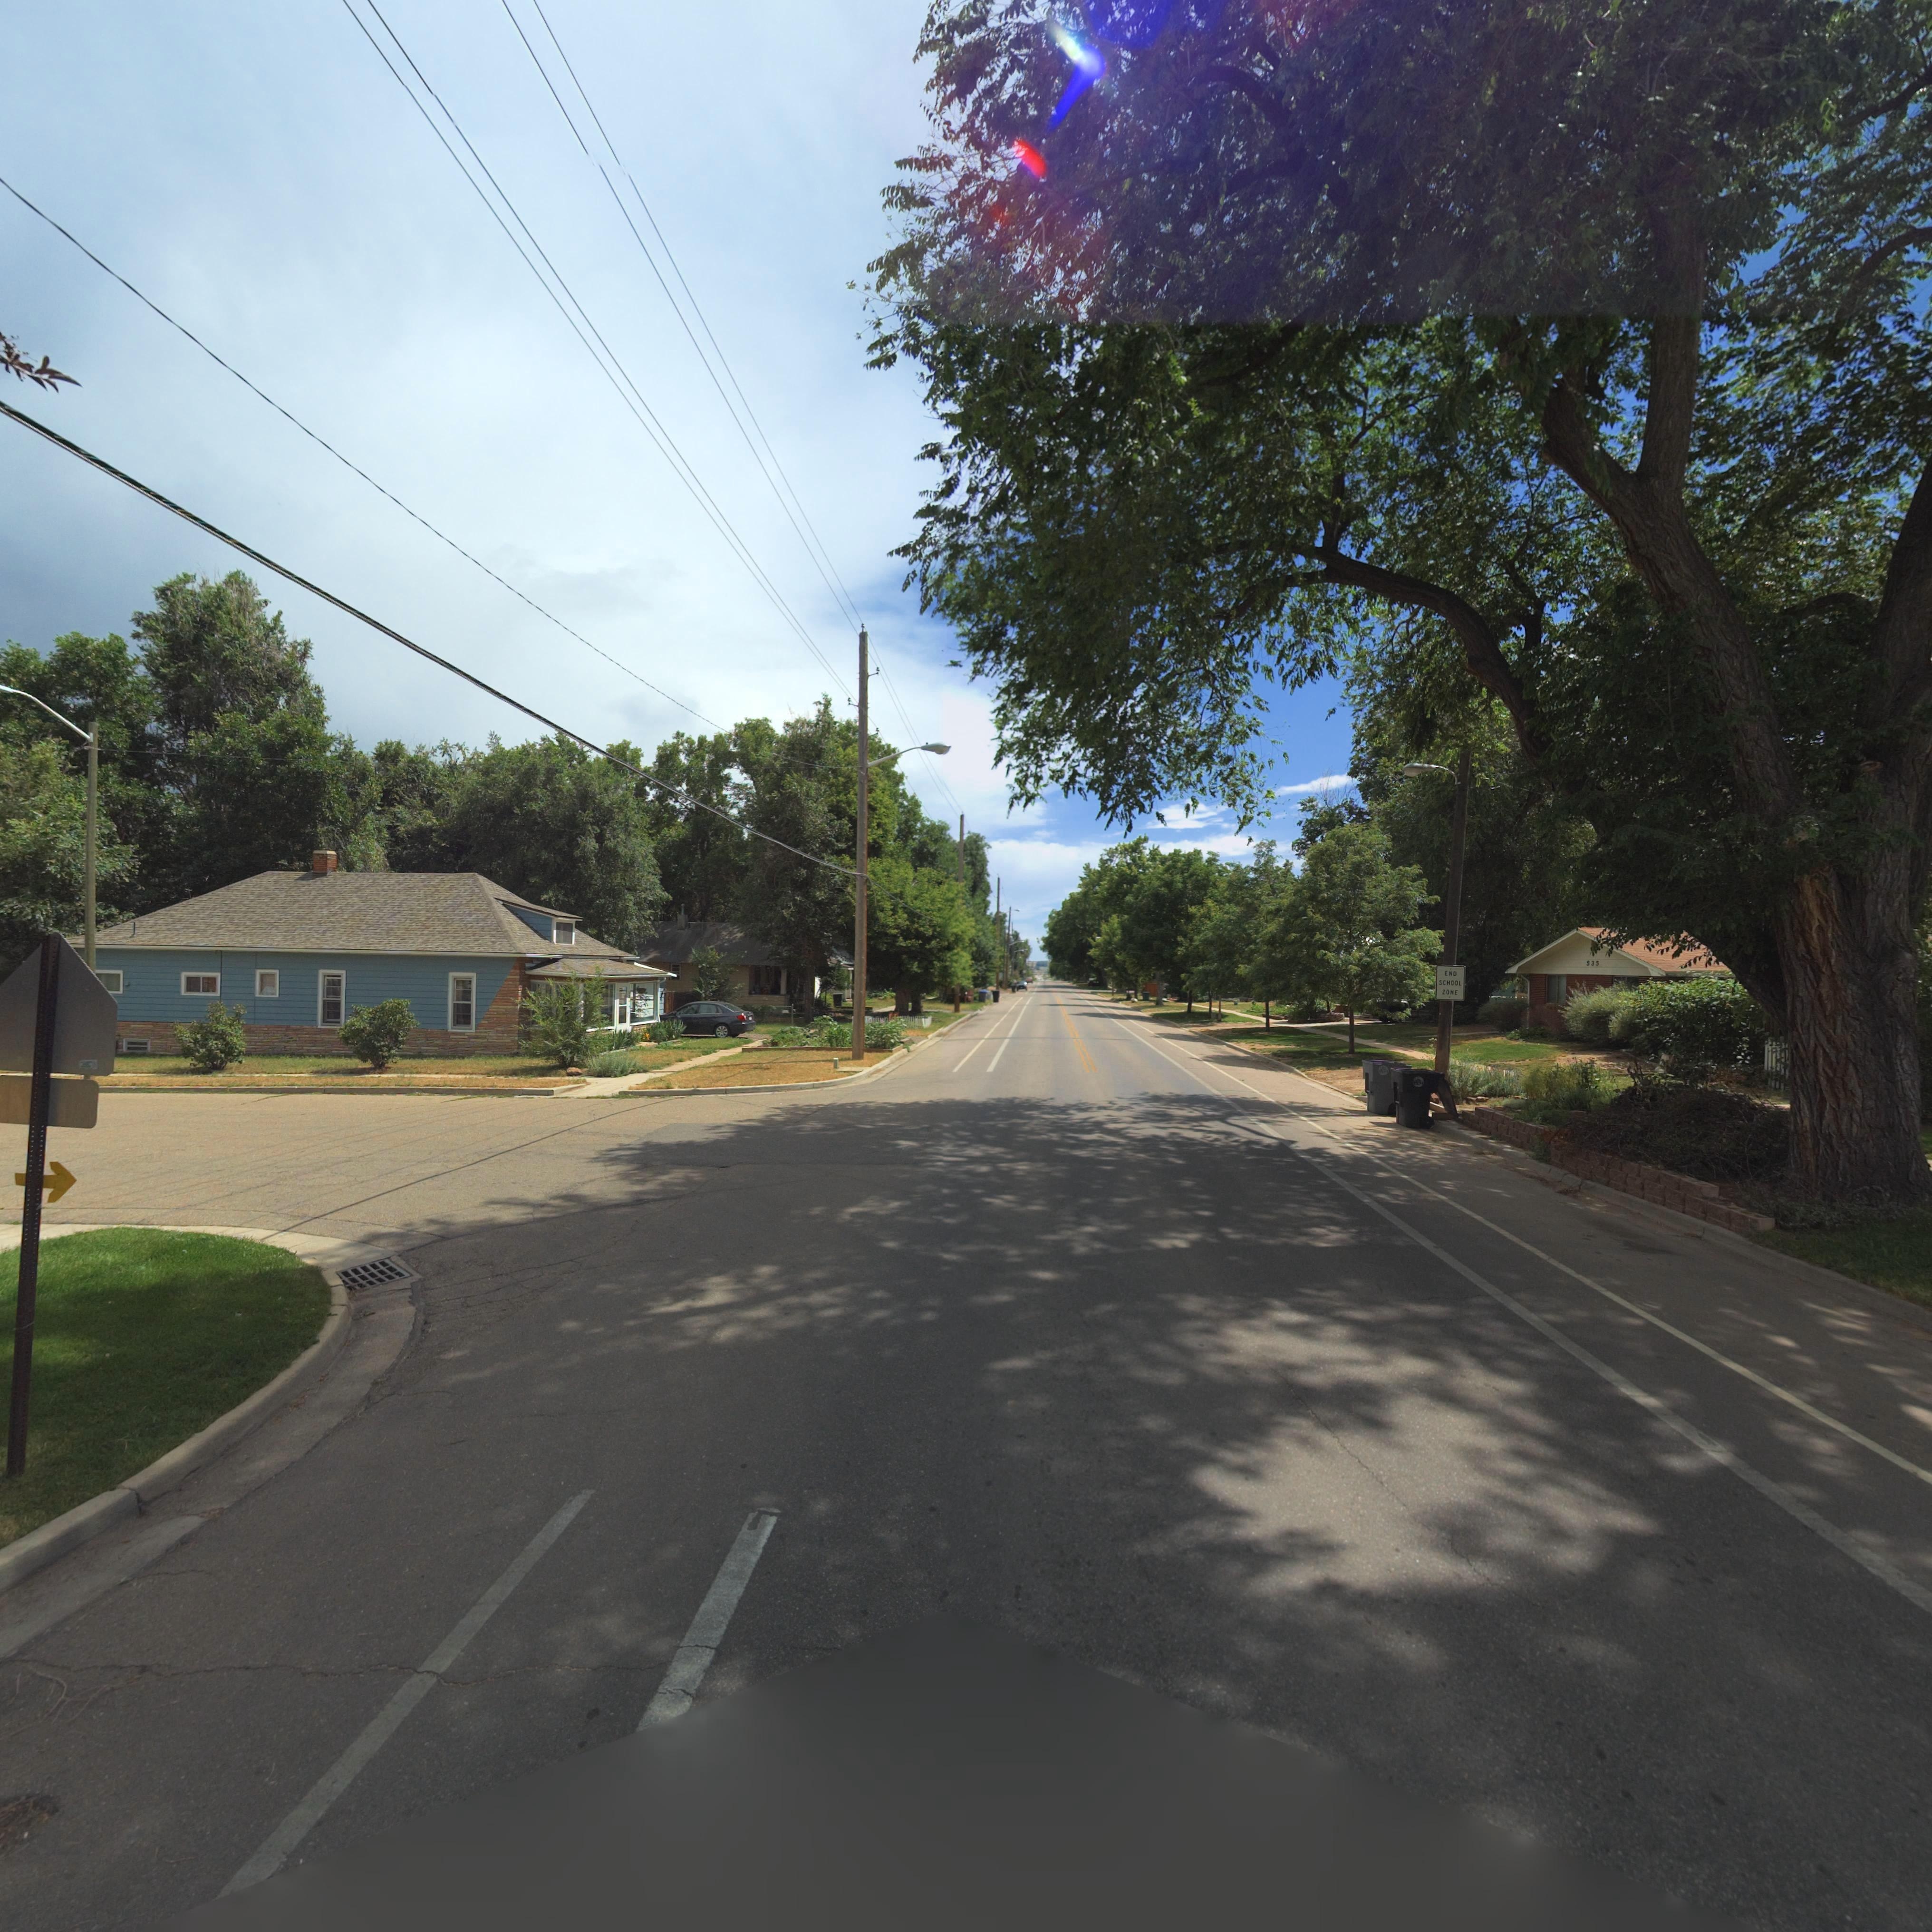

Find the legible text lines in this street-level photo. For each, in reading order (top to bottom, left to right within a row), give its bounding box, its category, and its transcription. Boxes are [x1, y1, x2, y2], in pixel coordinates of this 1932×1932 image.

[1586, 960, 1599, 966] StreetNumber: 535